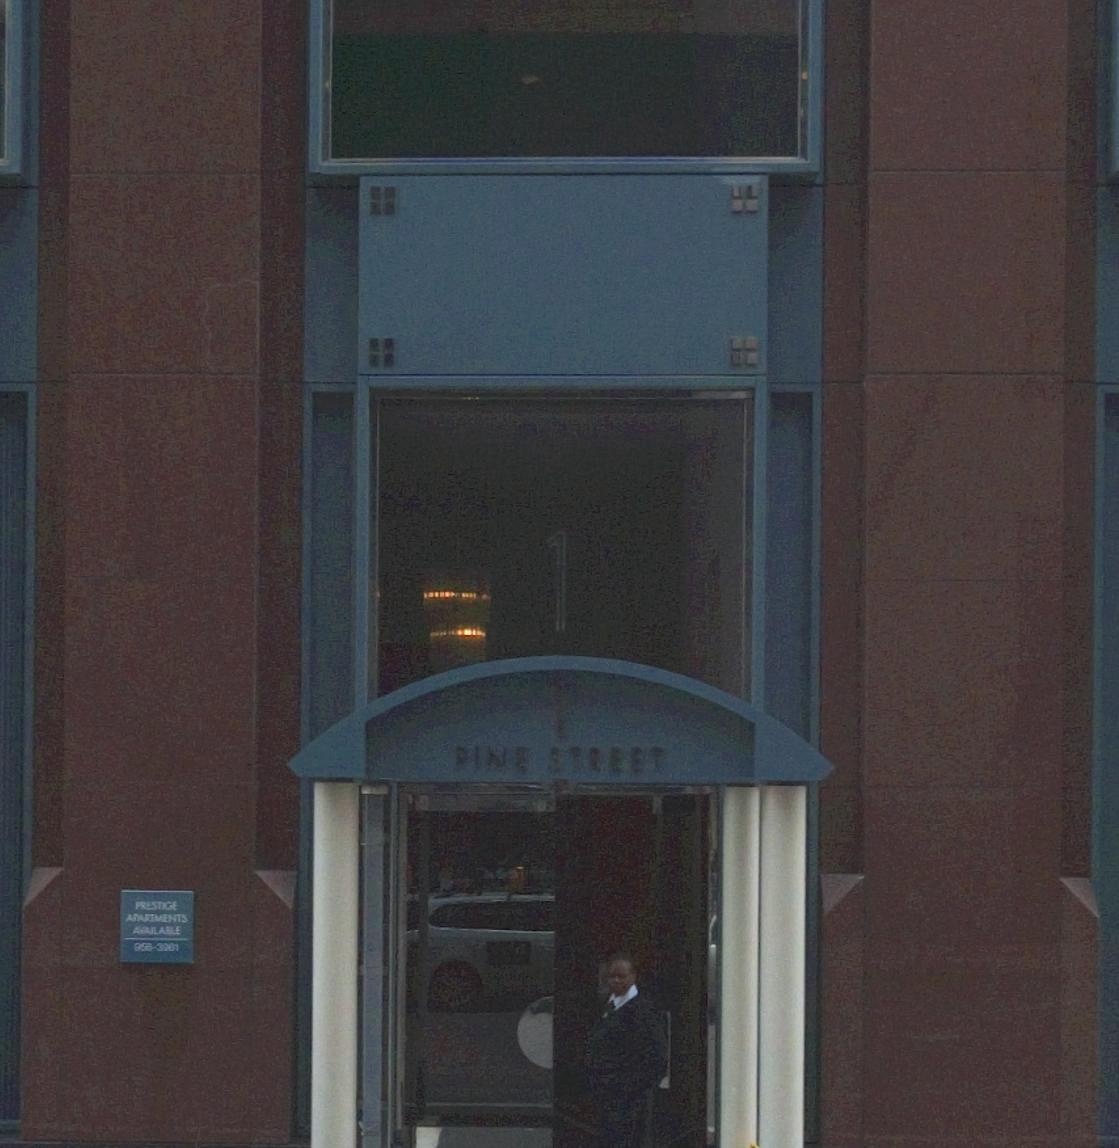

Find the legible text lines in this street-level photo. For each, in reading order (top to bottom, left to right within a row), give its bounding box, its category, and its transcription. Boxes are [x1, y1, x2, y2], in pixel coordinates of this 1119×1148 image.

[539, 527, 572, 636] StreetNumber: 1
[450, 739, 669, 777] StreetName: PINE STREET